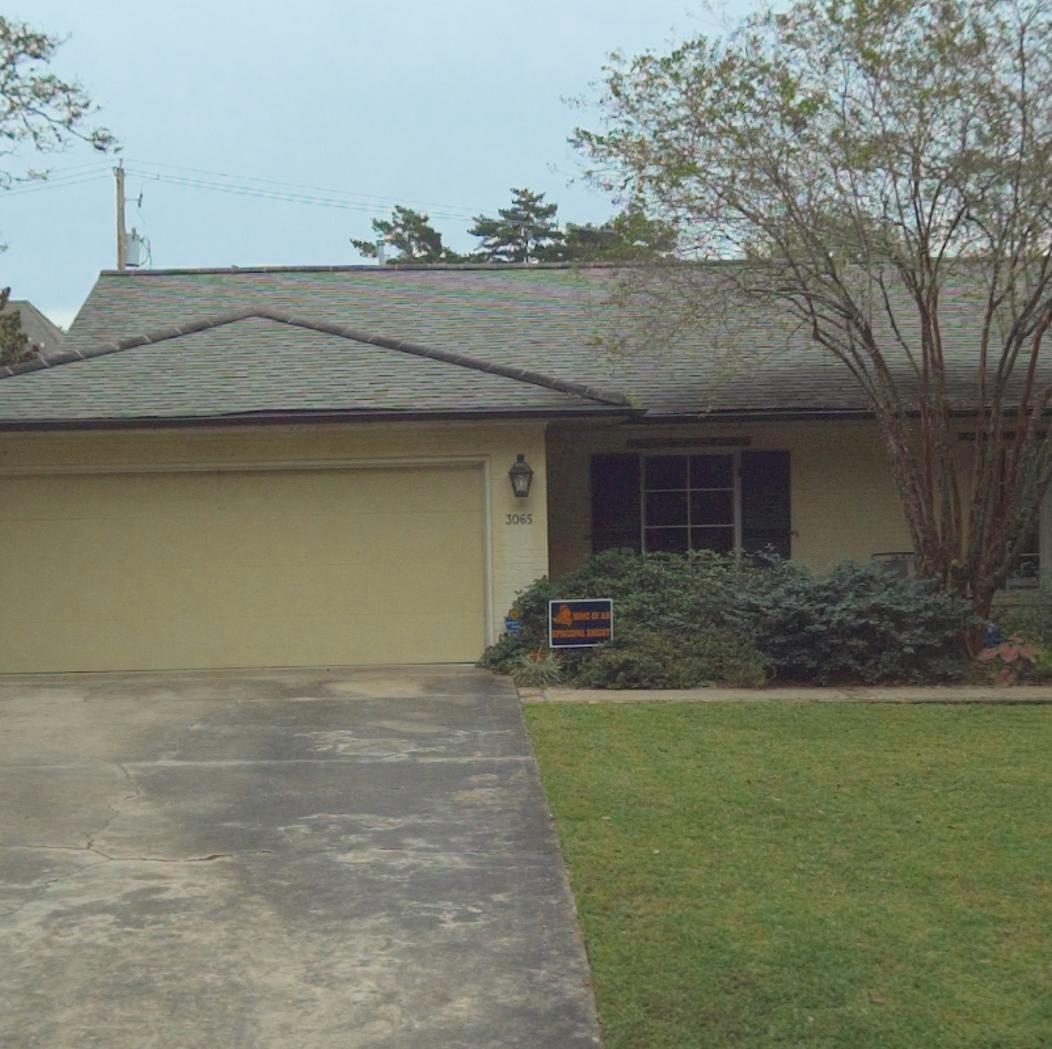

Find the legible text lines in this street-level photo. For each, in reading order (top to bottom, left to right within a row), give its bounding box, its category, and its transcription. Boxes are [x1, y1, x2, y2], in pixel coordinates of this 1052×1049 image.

[503, 512, 534, 525] StreetNumber: 3065